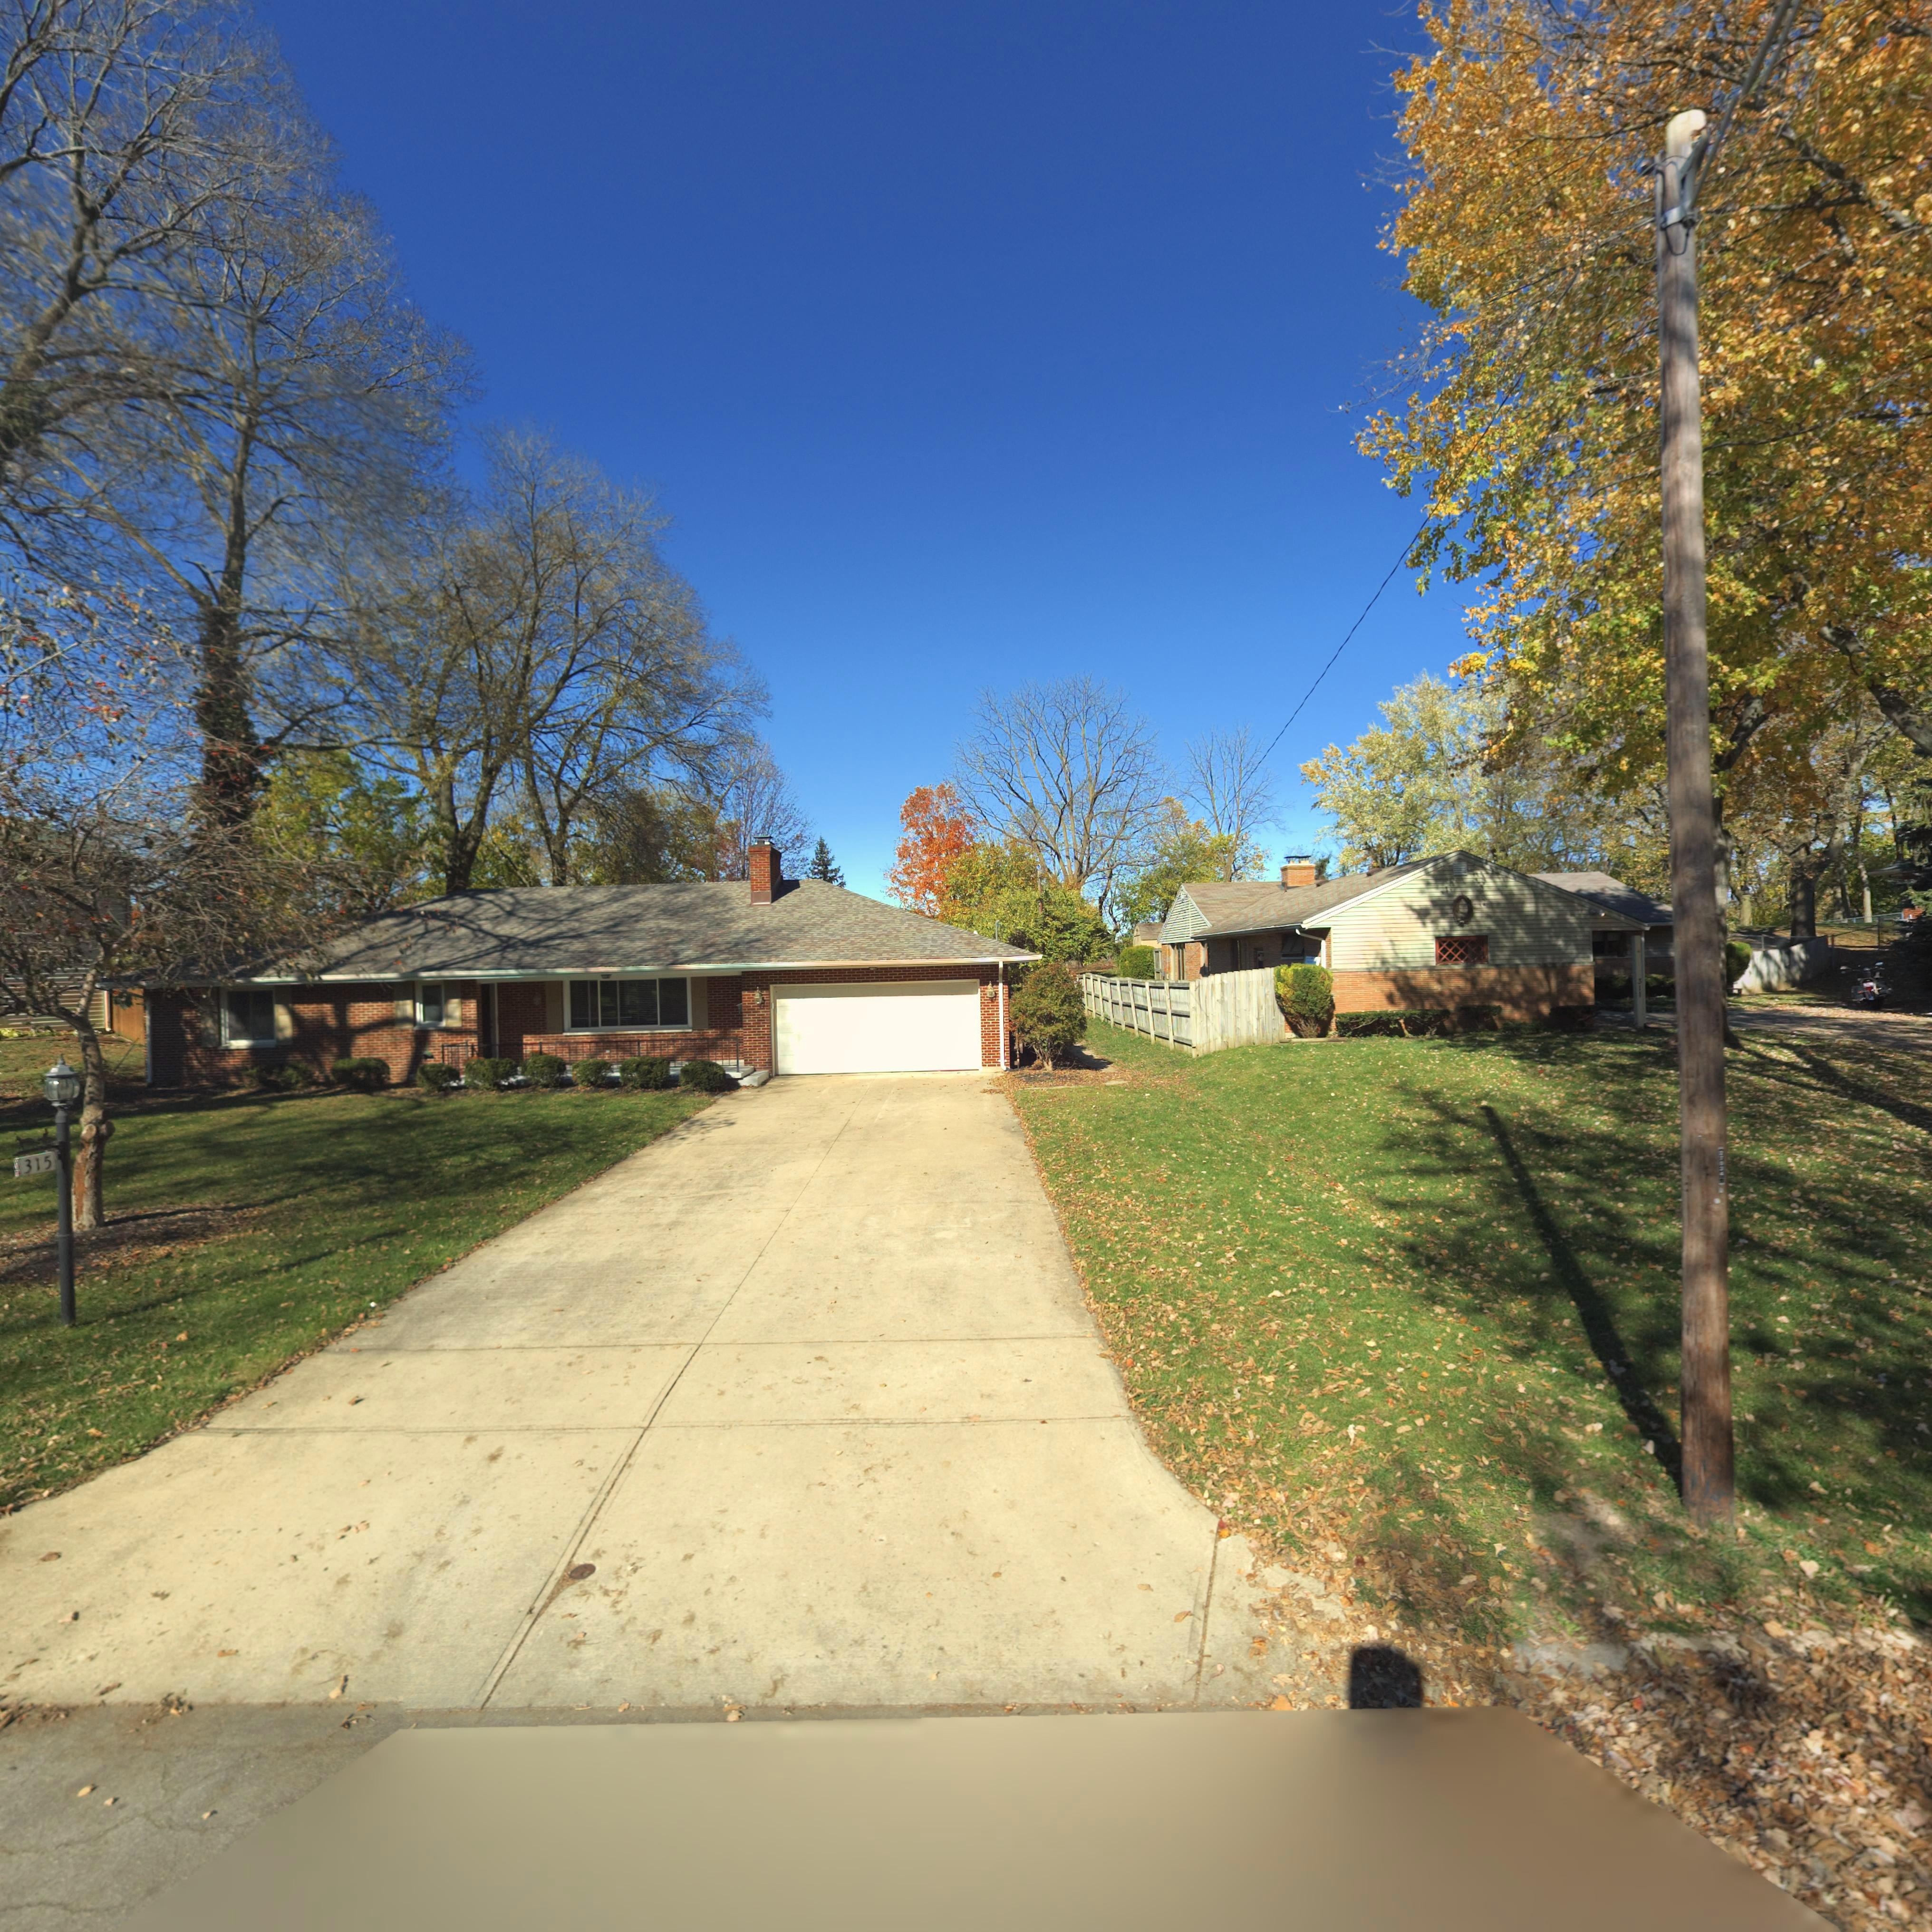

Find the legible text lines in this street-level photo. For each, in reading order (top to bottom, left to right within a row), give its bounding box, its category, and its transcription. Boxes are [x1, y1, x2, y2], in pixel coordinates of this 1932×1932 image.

[23, 1153, 54, 1176] StreetNumber: 315